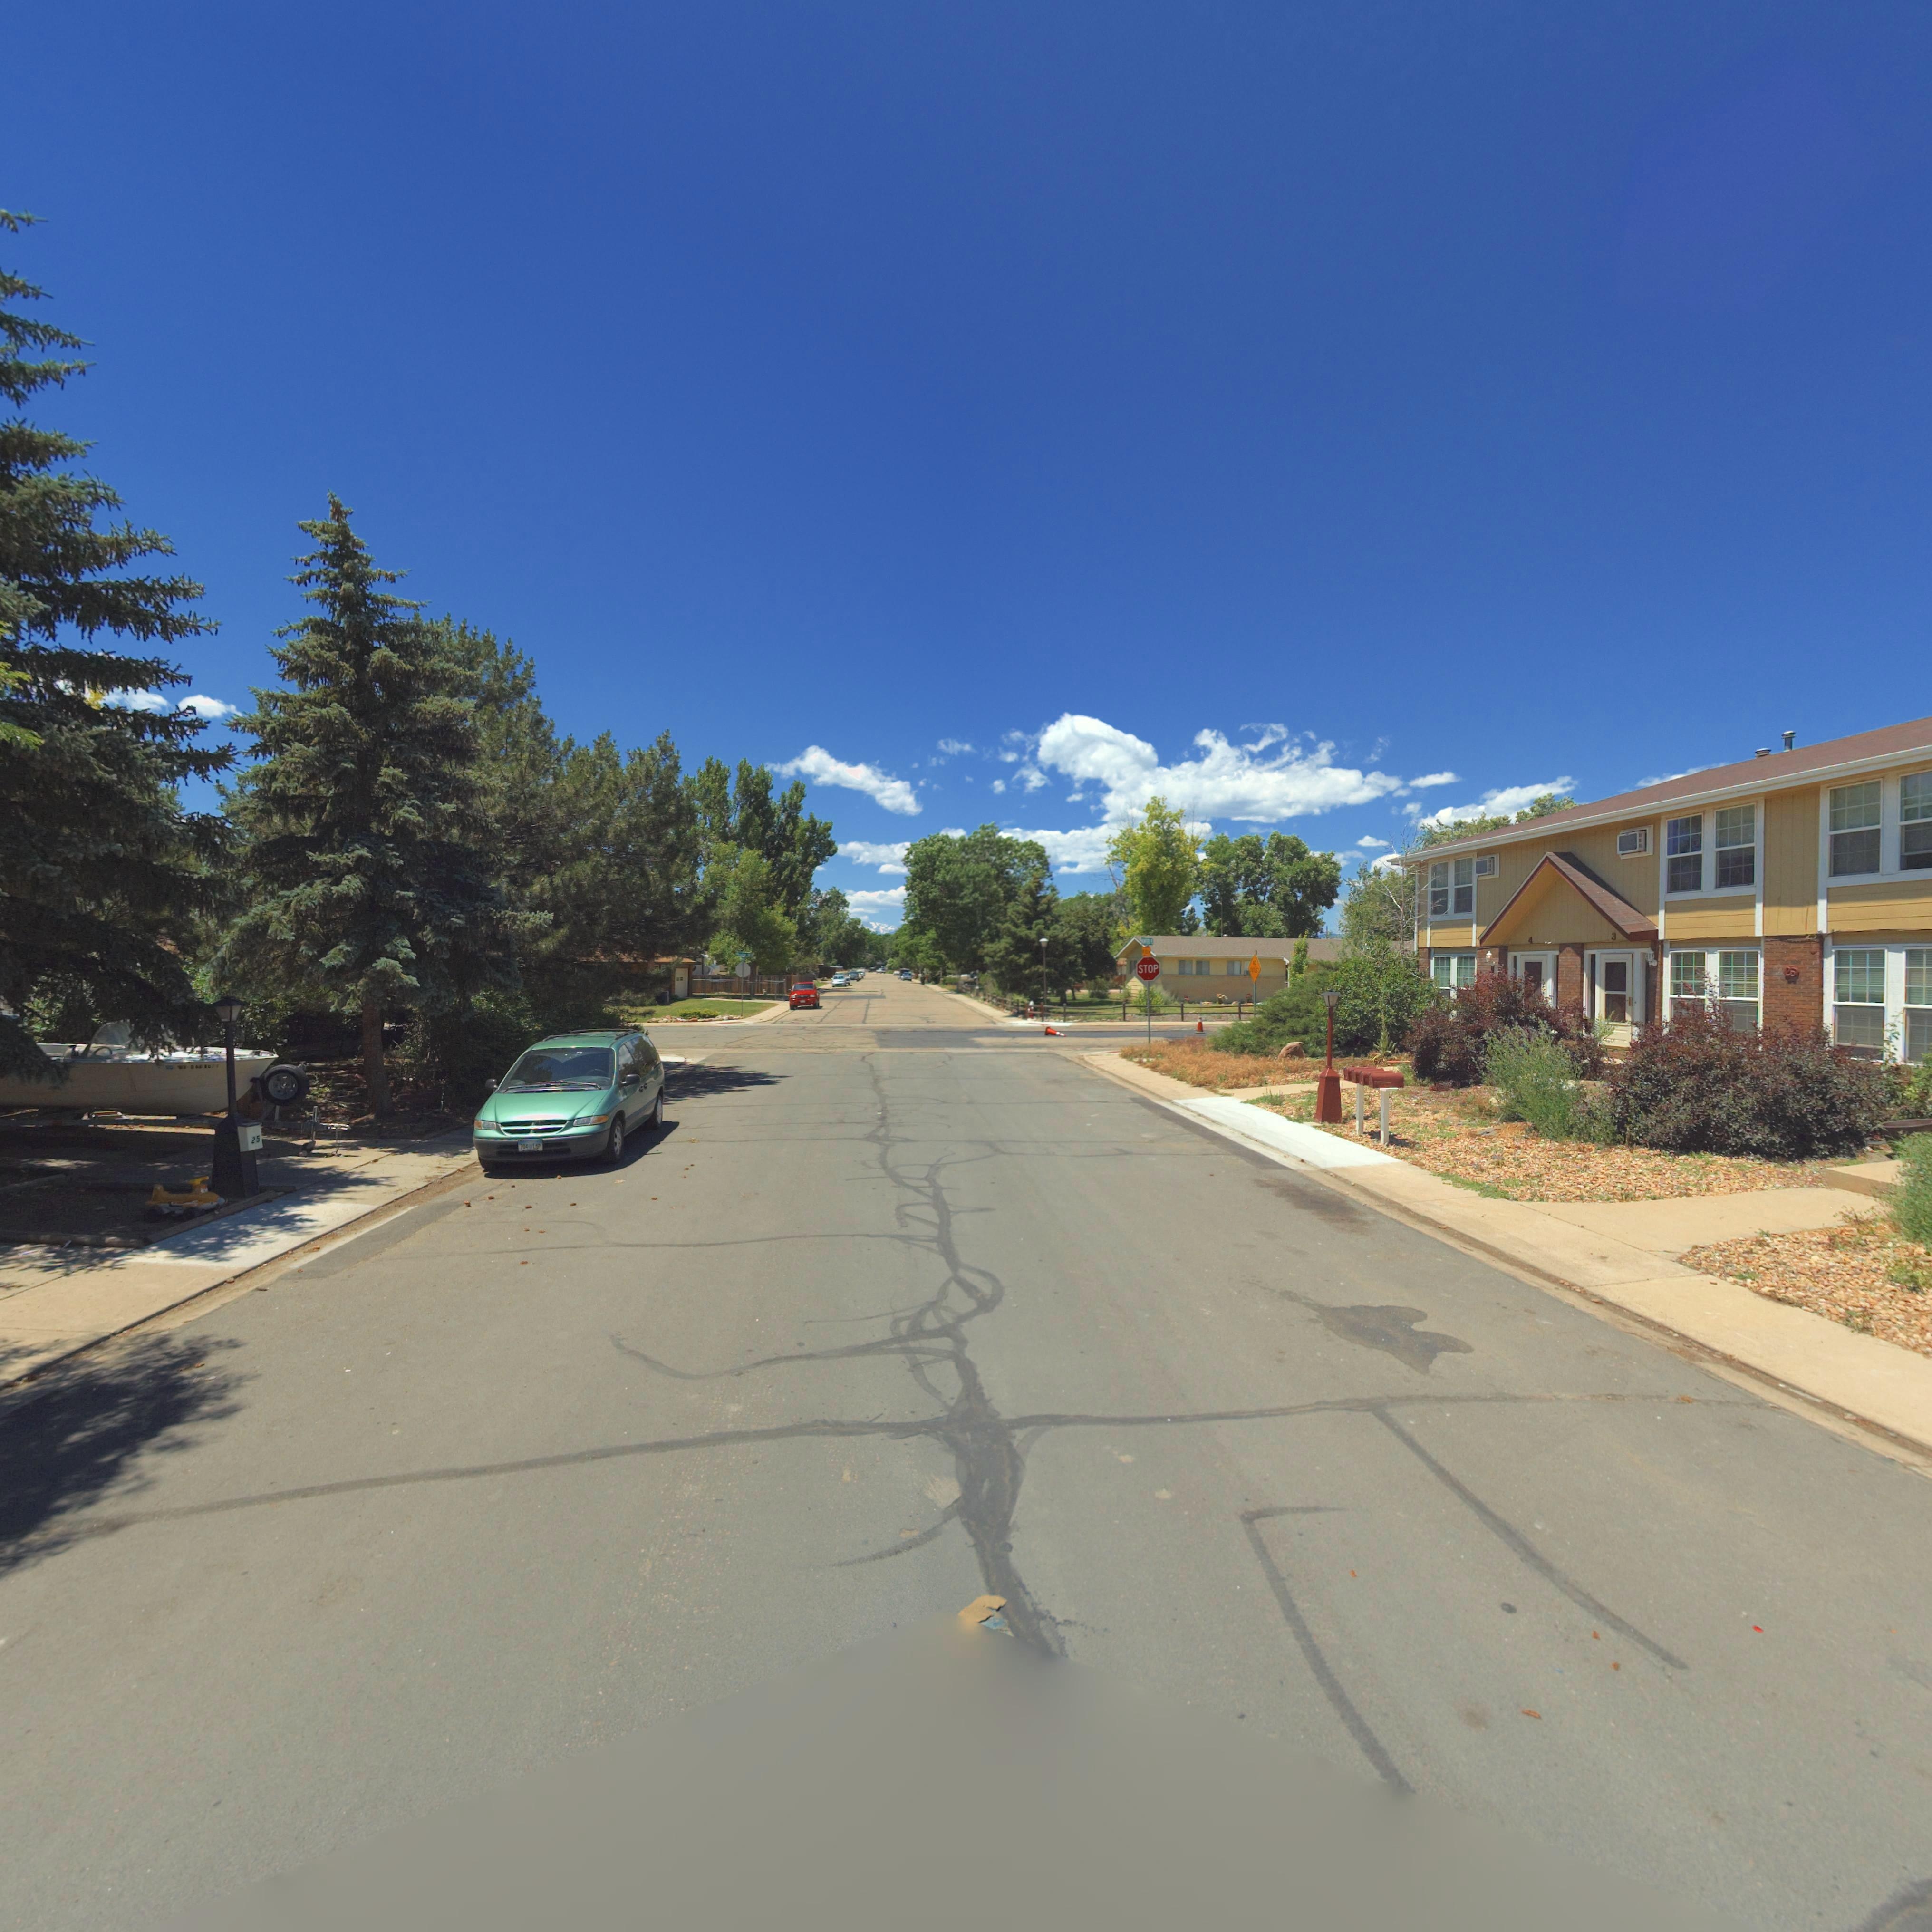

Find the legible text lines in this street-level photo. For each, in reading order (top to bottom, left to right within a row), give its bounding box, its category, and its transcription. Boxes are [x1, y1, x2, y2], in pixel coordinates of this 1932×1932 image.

[1141, 937, 1153, 944] StreetName: * ST
[1527, 935, 1533, 944] StreetNumber: 4
[1611, 931, 1617, 941] StreetNumber: 3
[736, 952, 751, 957] StreetName: * ST
[1784, 965, 1800, 978] StreetNumber: 26
[251, 1134, 261, 1144] StreetNumber: 25